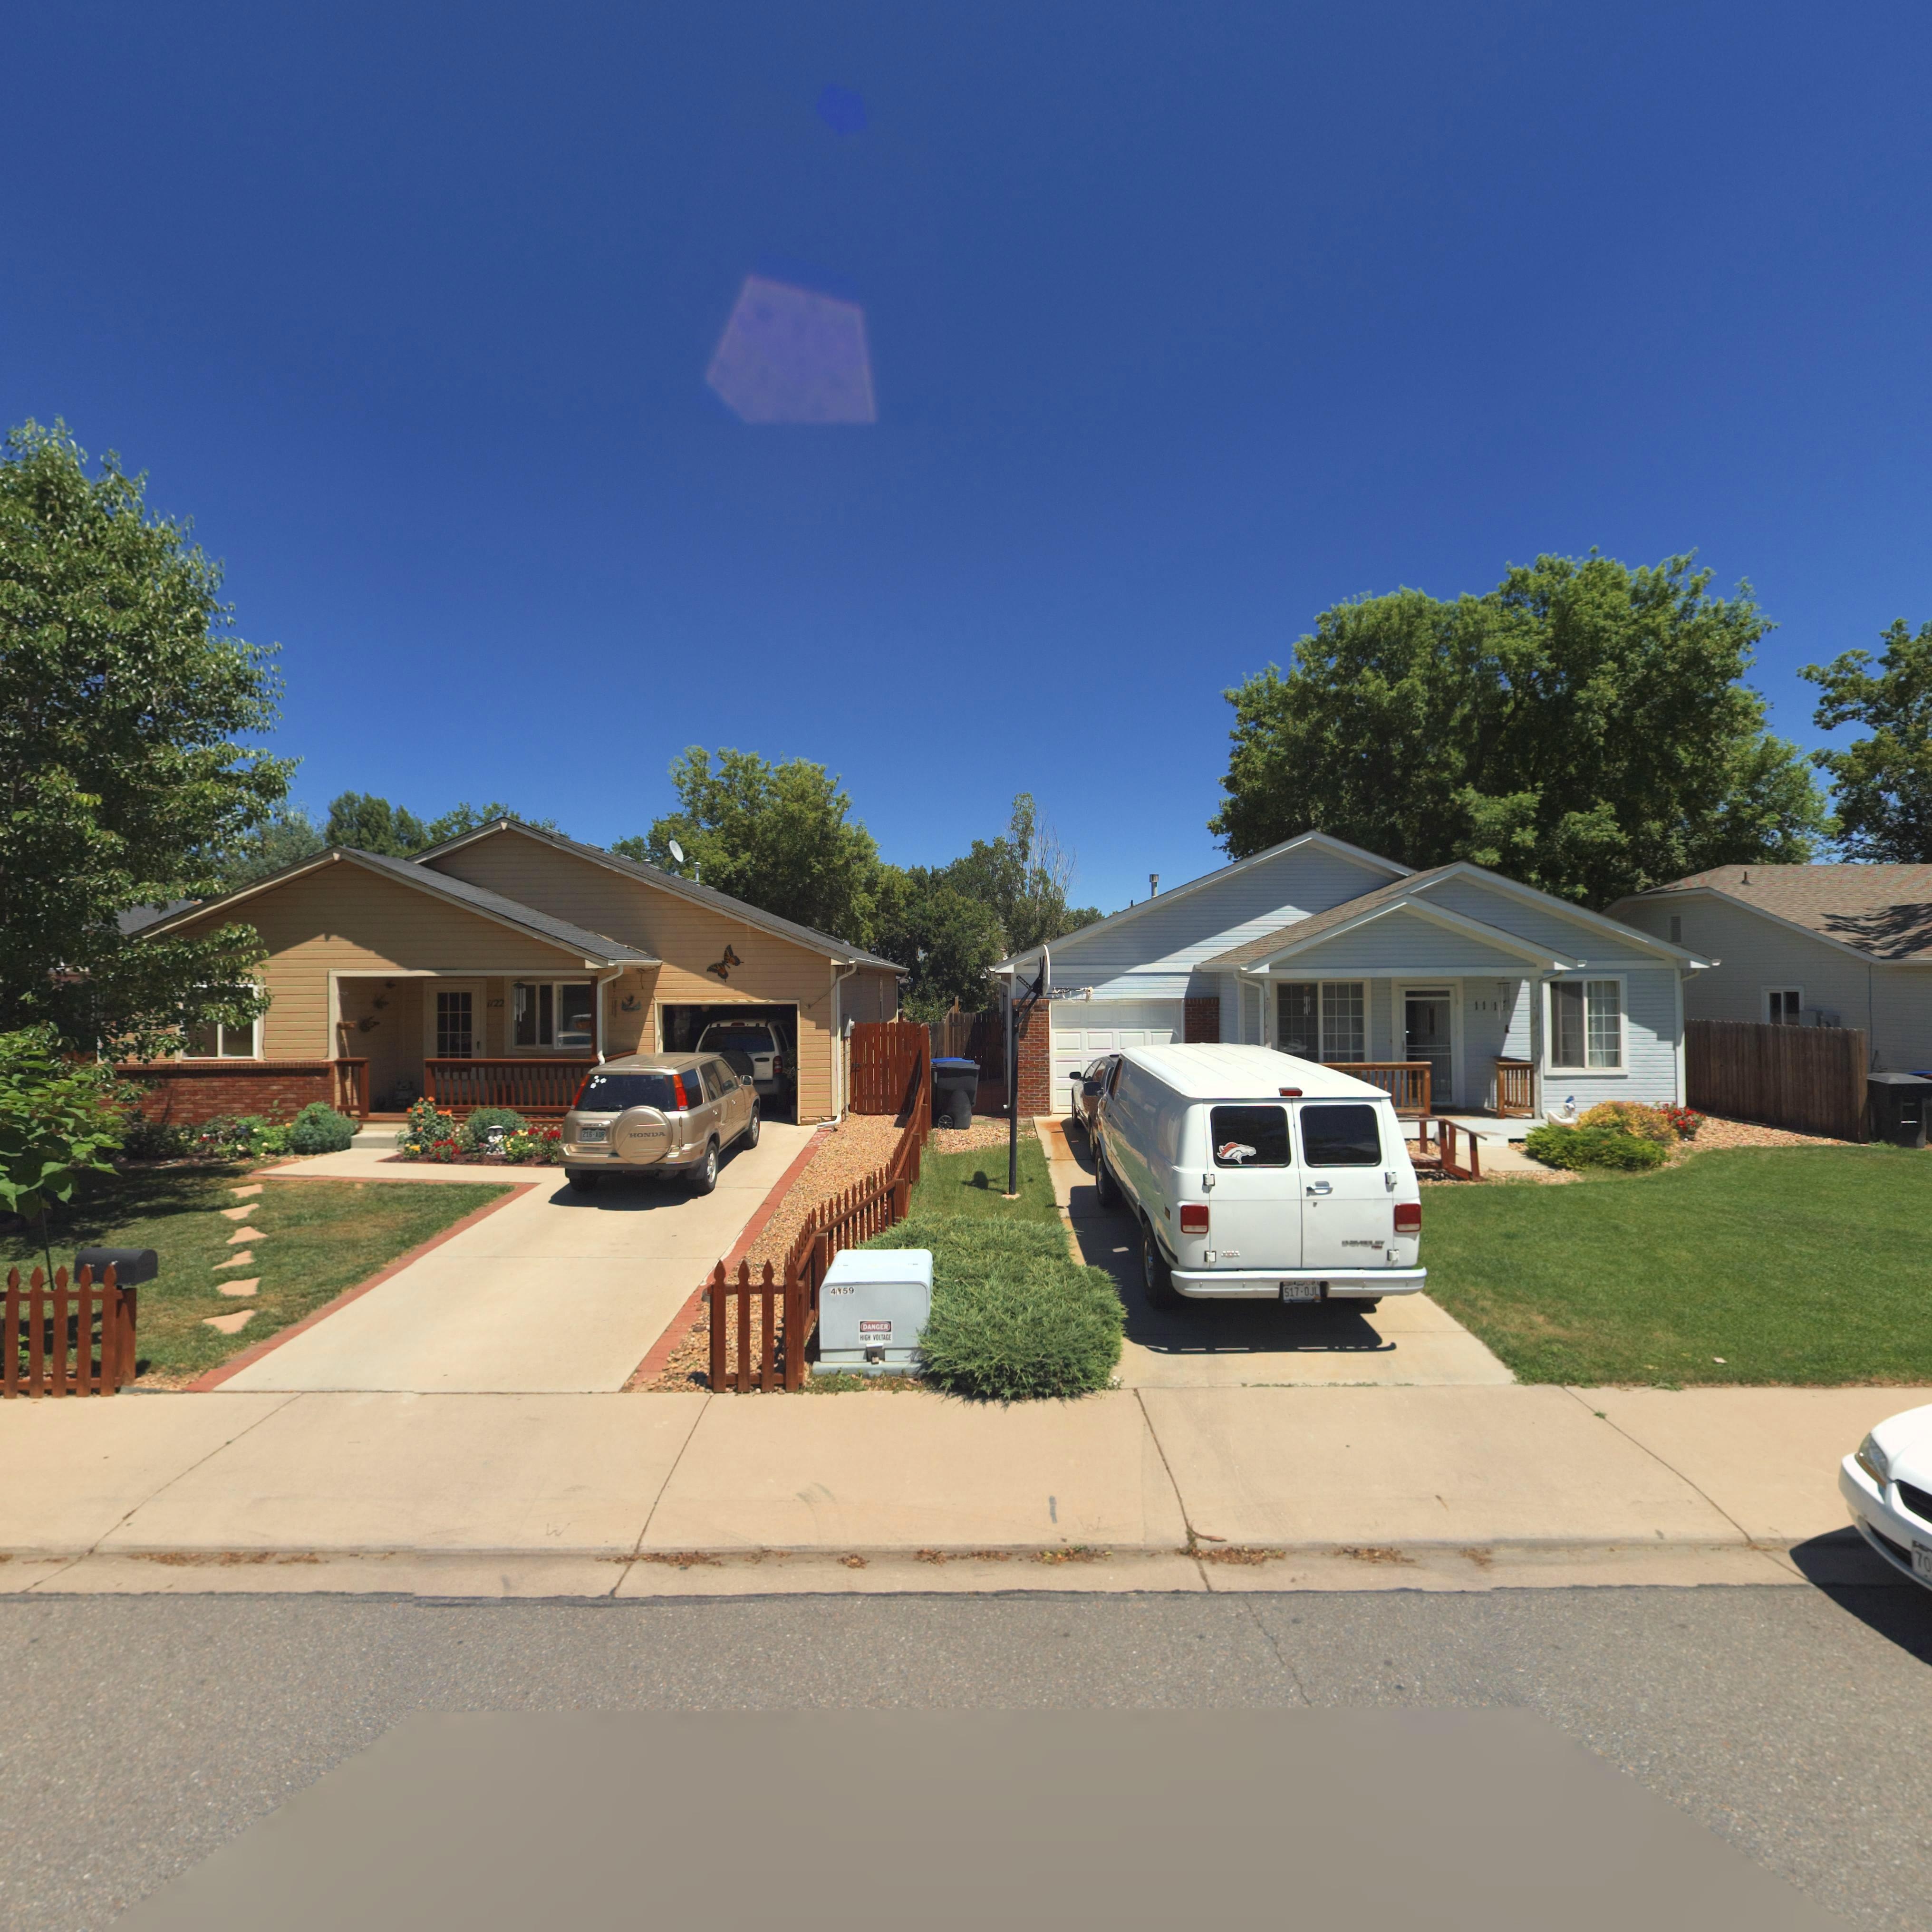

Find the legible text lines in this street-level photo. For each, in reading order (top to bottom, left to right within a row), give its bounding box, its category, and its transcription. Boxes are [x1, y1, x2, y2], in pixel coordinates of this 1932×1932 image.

[485, 999, 504, 1007] StreetNumber: 1122
[1473, 1000, 1497, 1011] StreetNumber: 111